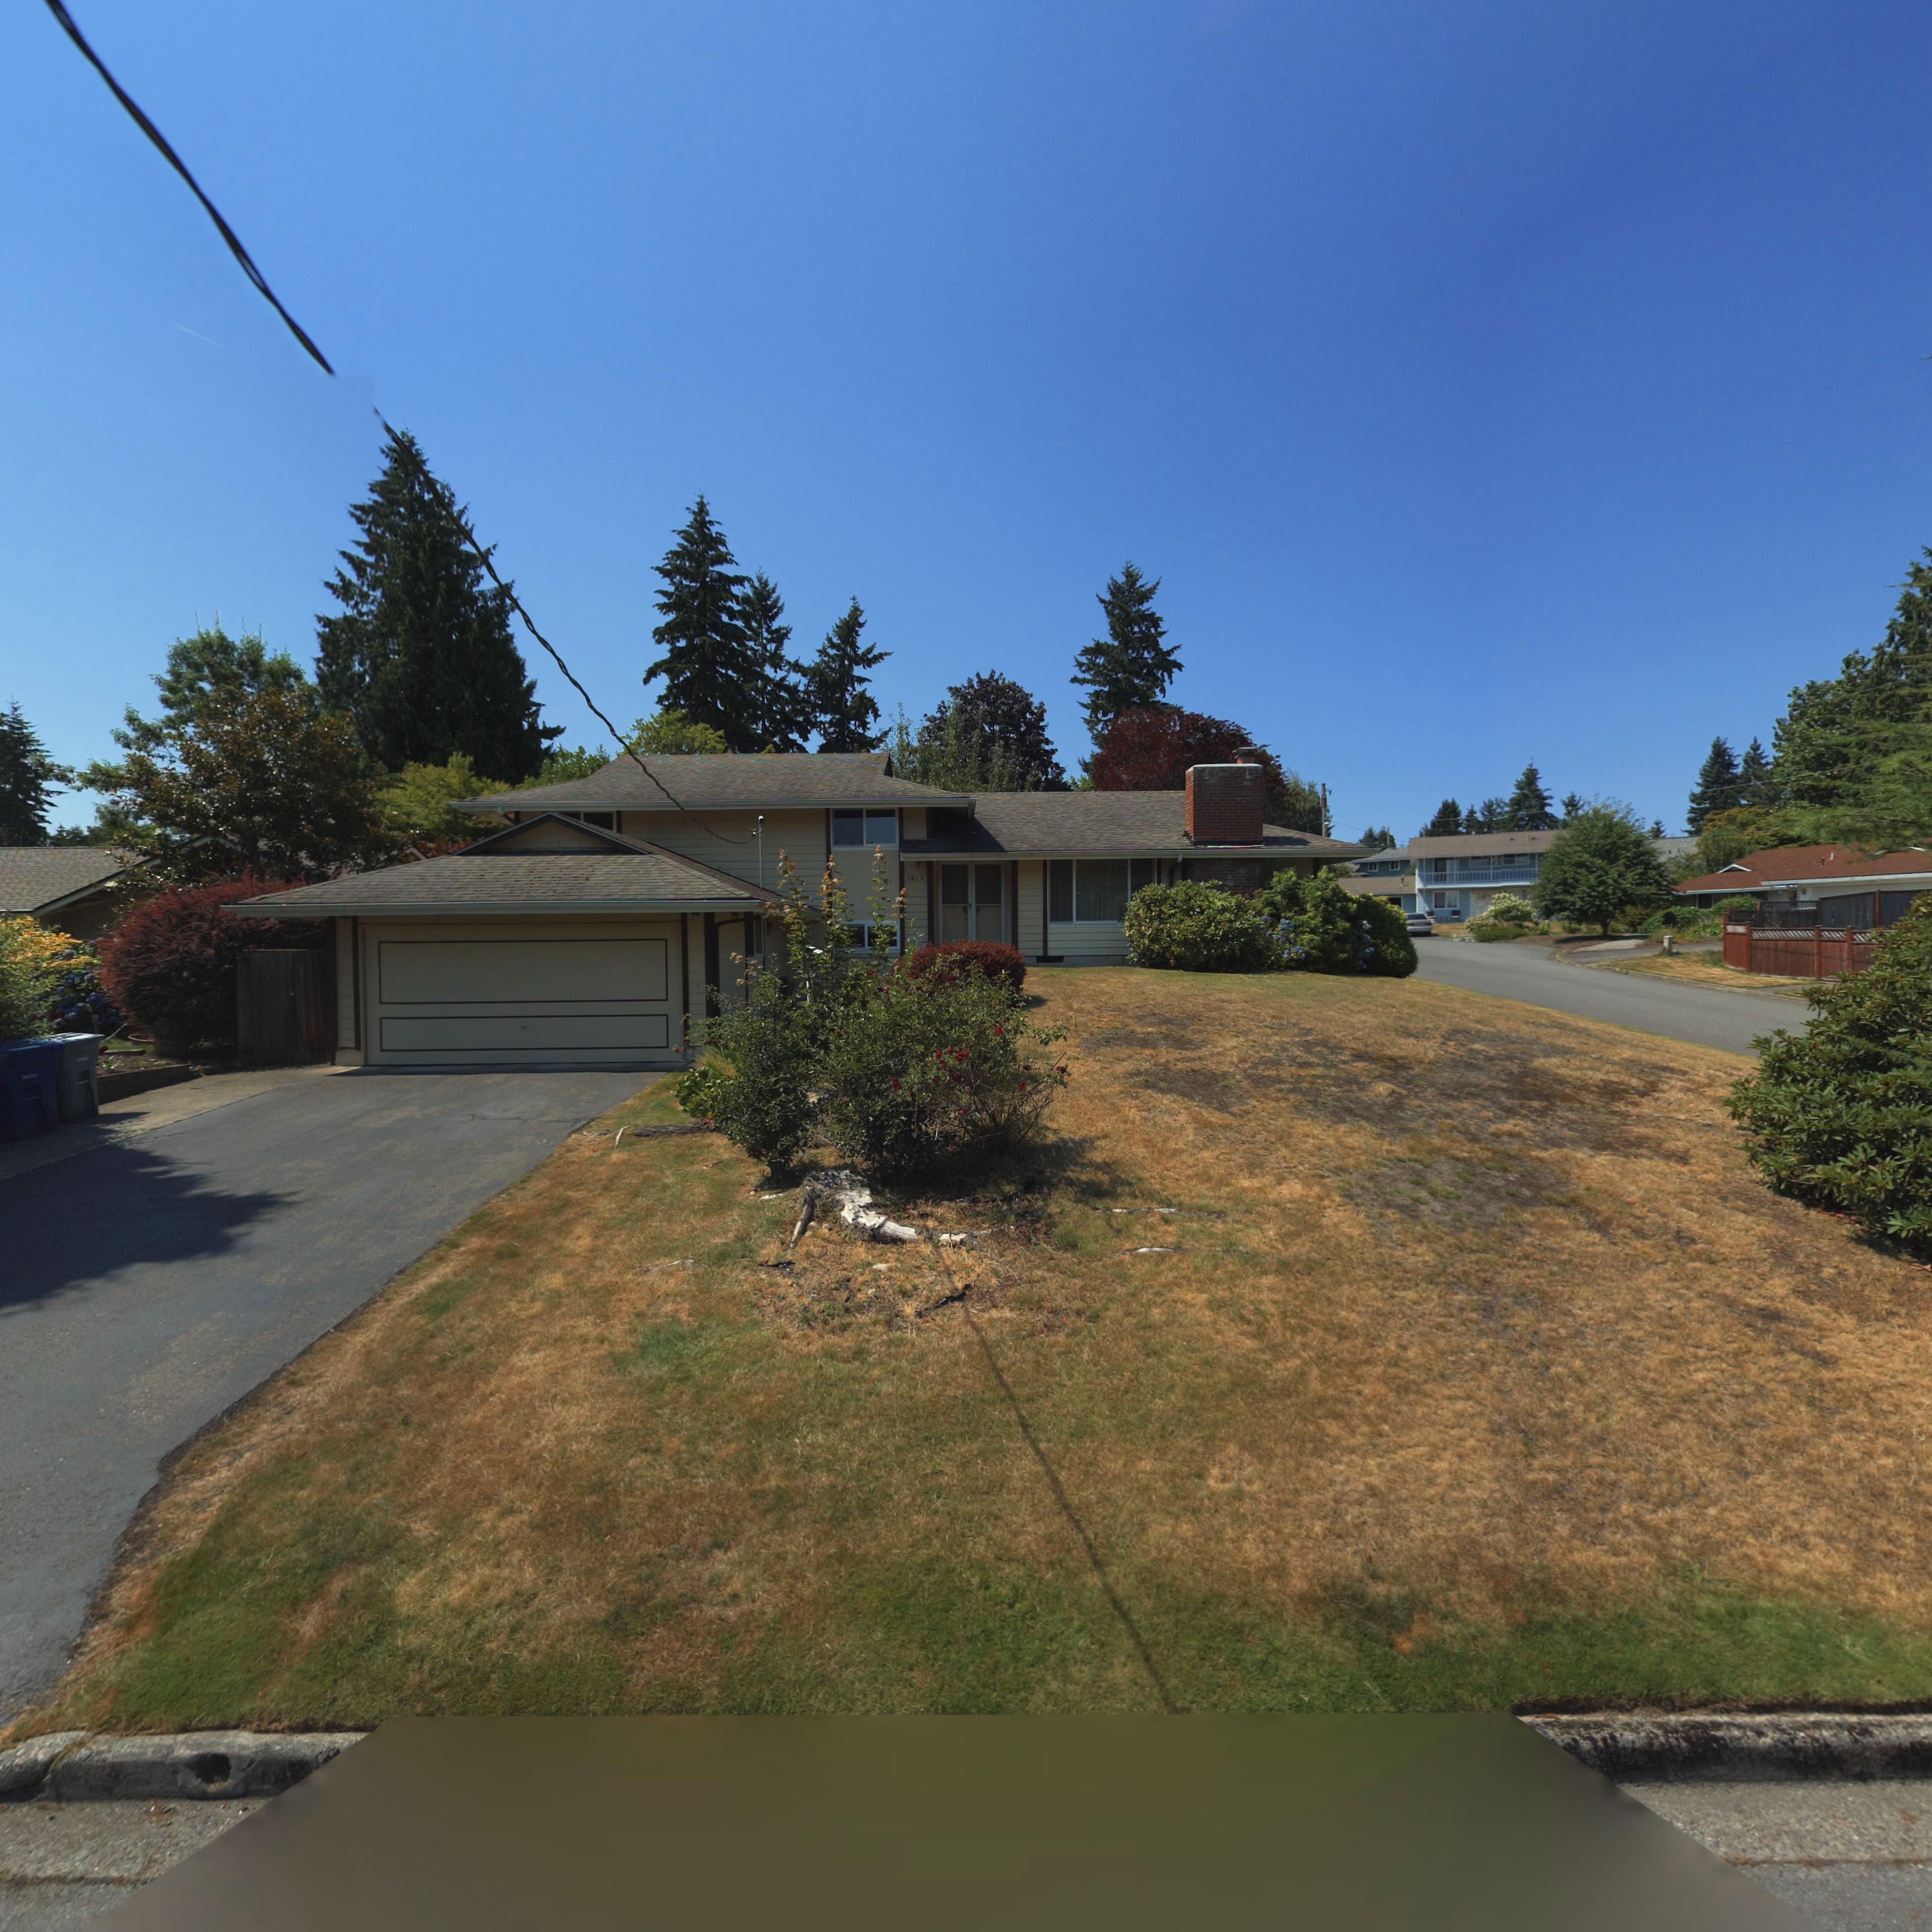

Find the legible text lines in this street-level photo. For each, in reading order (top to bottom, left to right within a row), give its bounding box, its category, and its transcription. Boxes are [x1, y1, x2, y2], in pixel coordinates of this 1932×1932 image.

[907, 875, 924, 881] StreetNumber: 1819